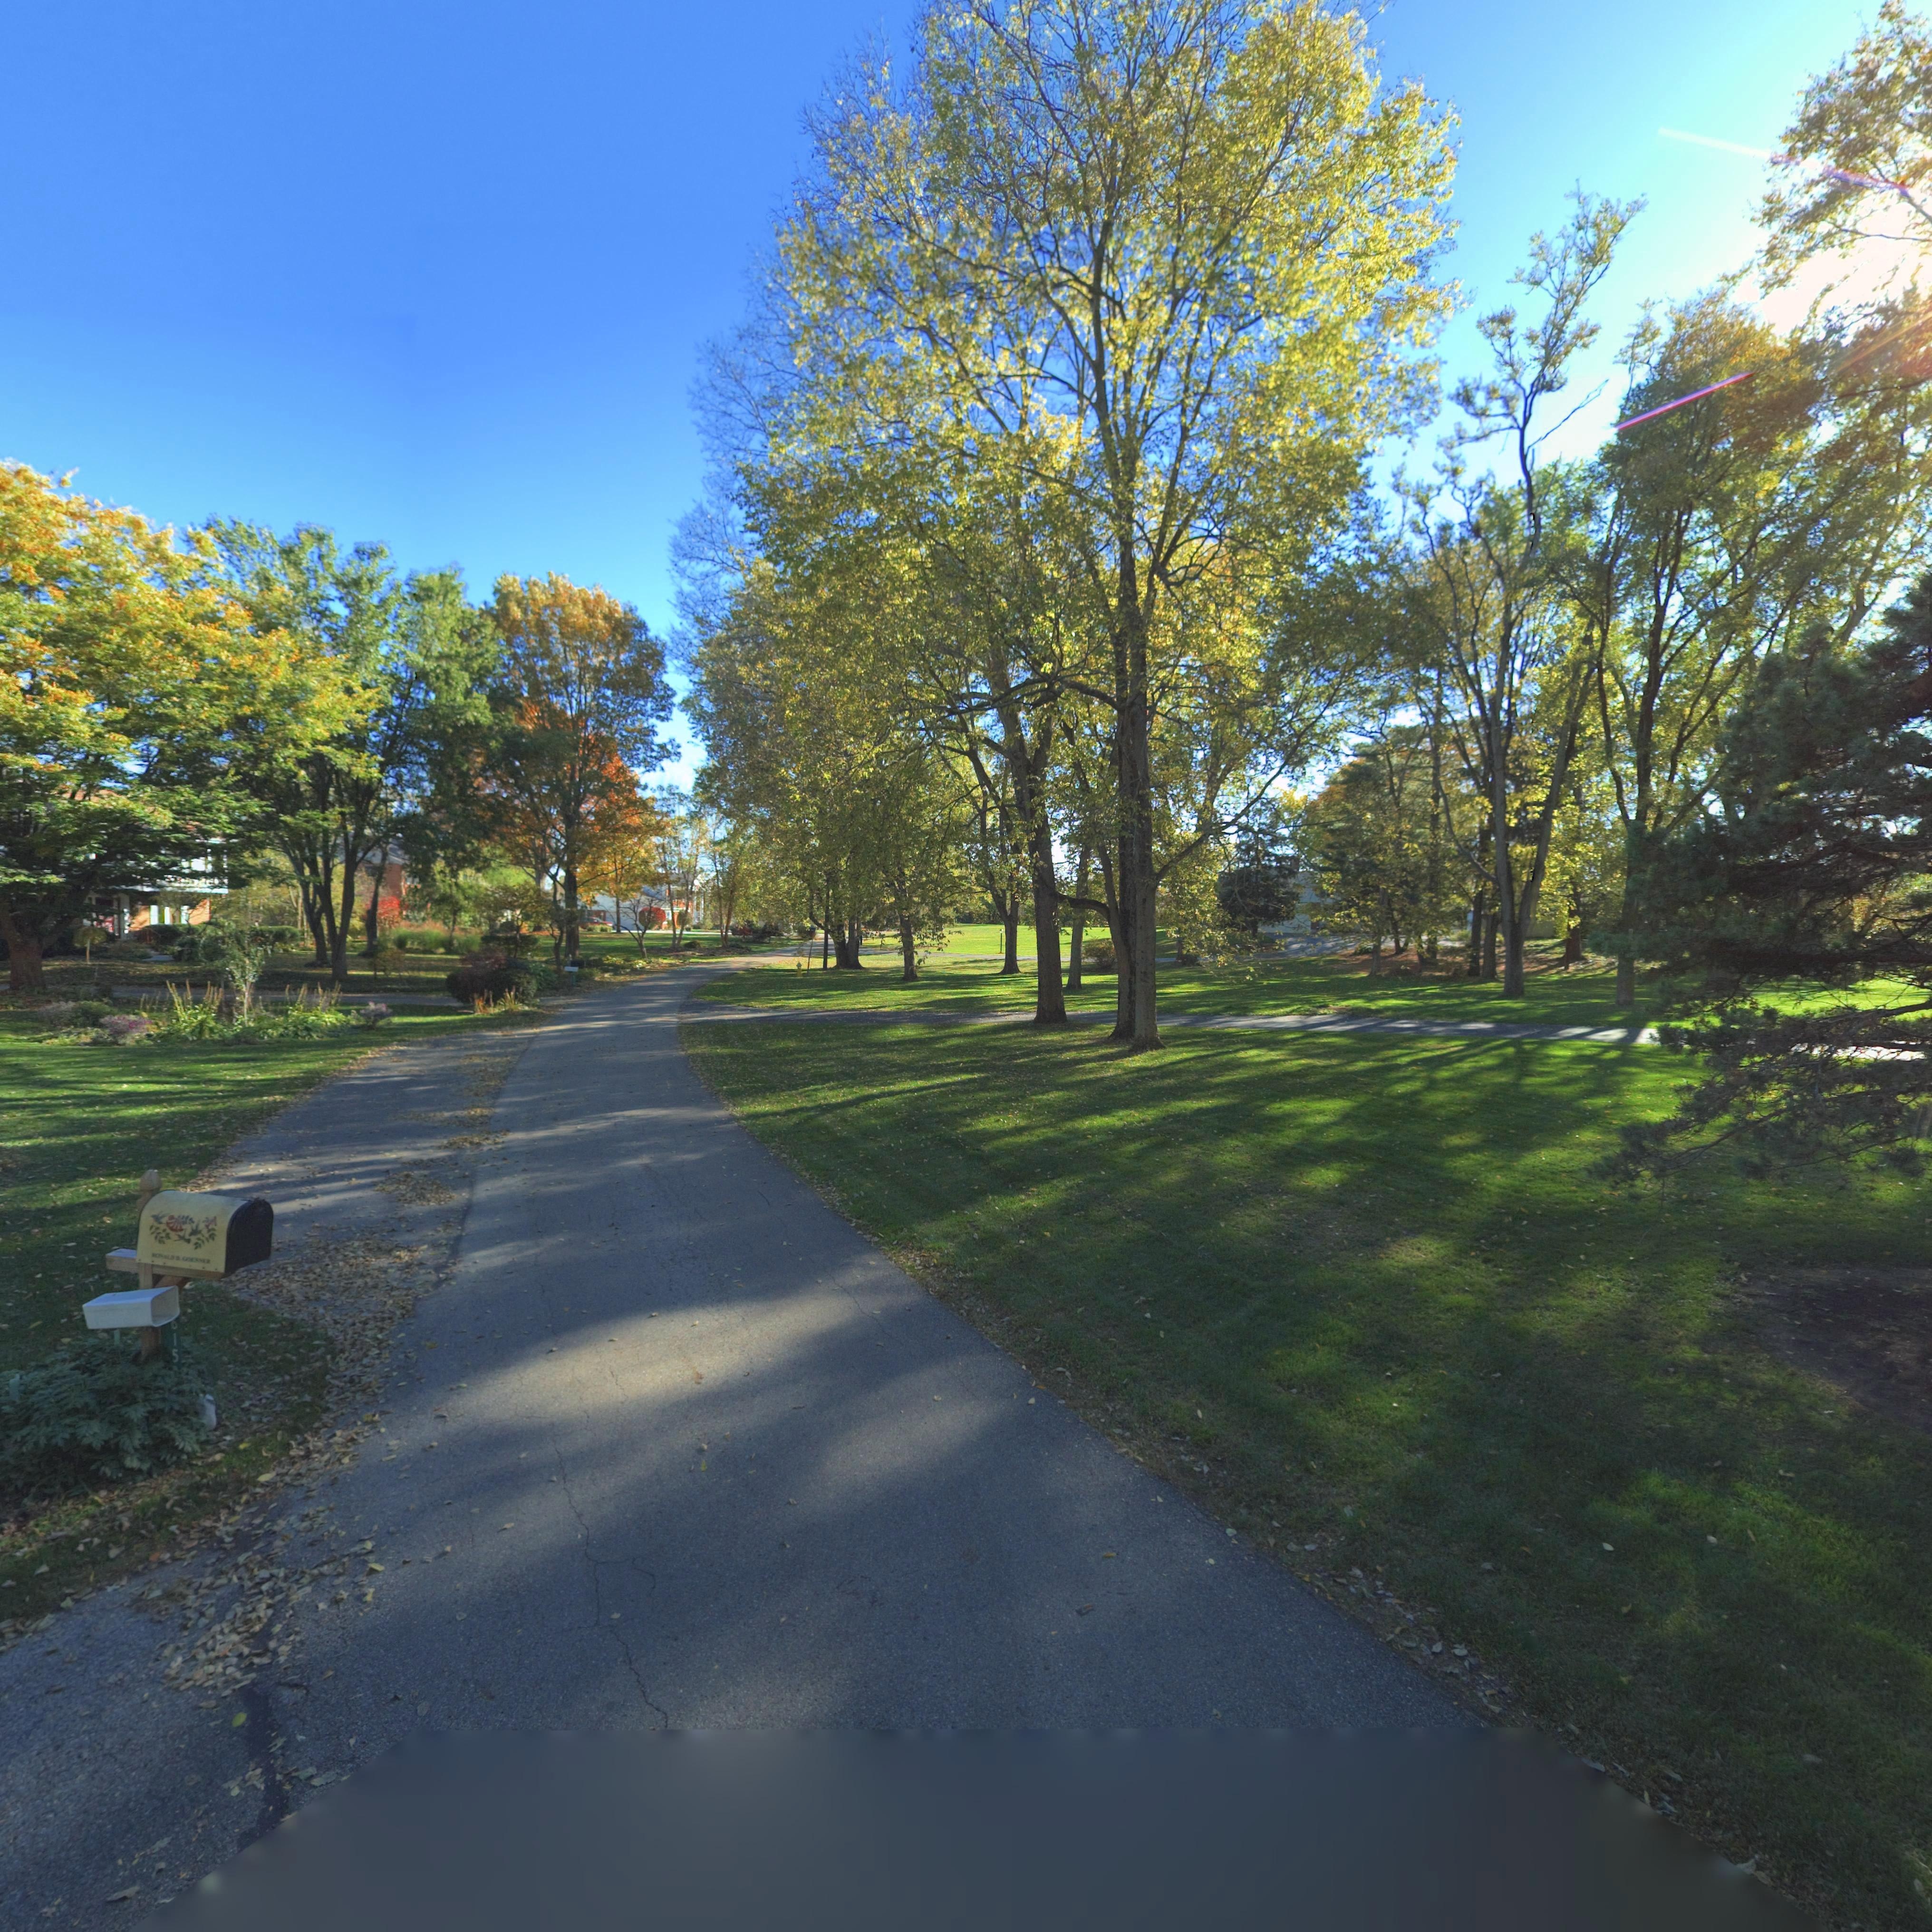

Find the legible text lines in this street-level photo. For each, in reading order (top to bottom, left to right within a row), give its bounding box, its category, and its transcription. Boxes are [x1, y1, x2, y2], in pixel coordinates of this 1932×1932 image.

[150, 1252, 213, 1265] None: RONALD D. GOESSER
[171, 1331, 180, 1364] StreetNumber: 15